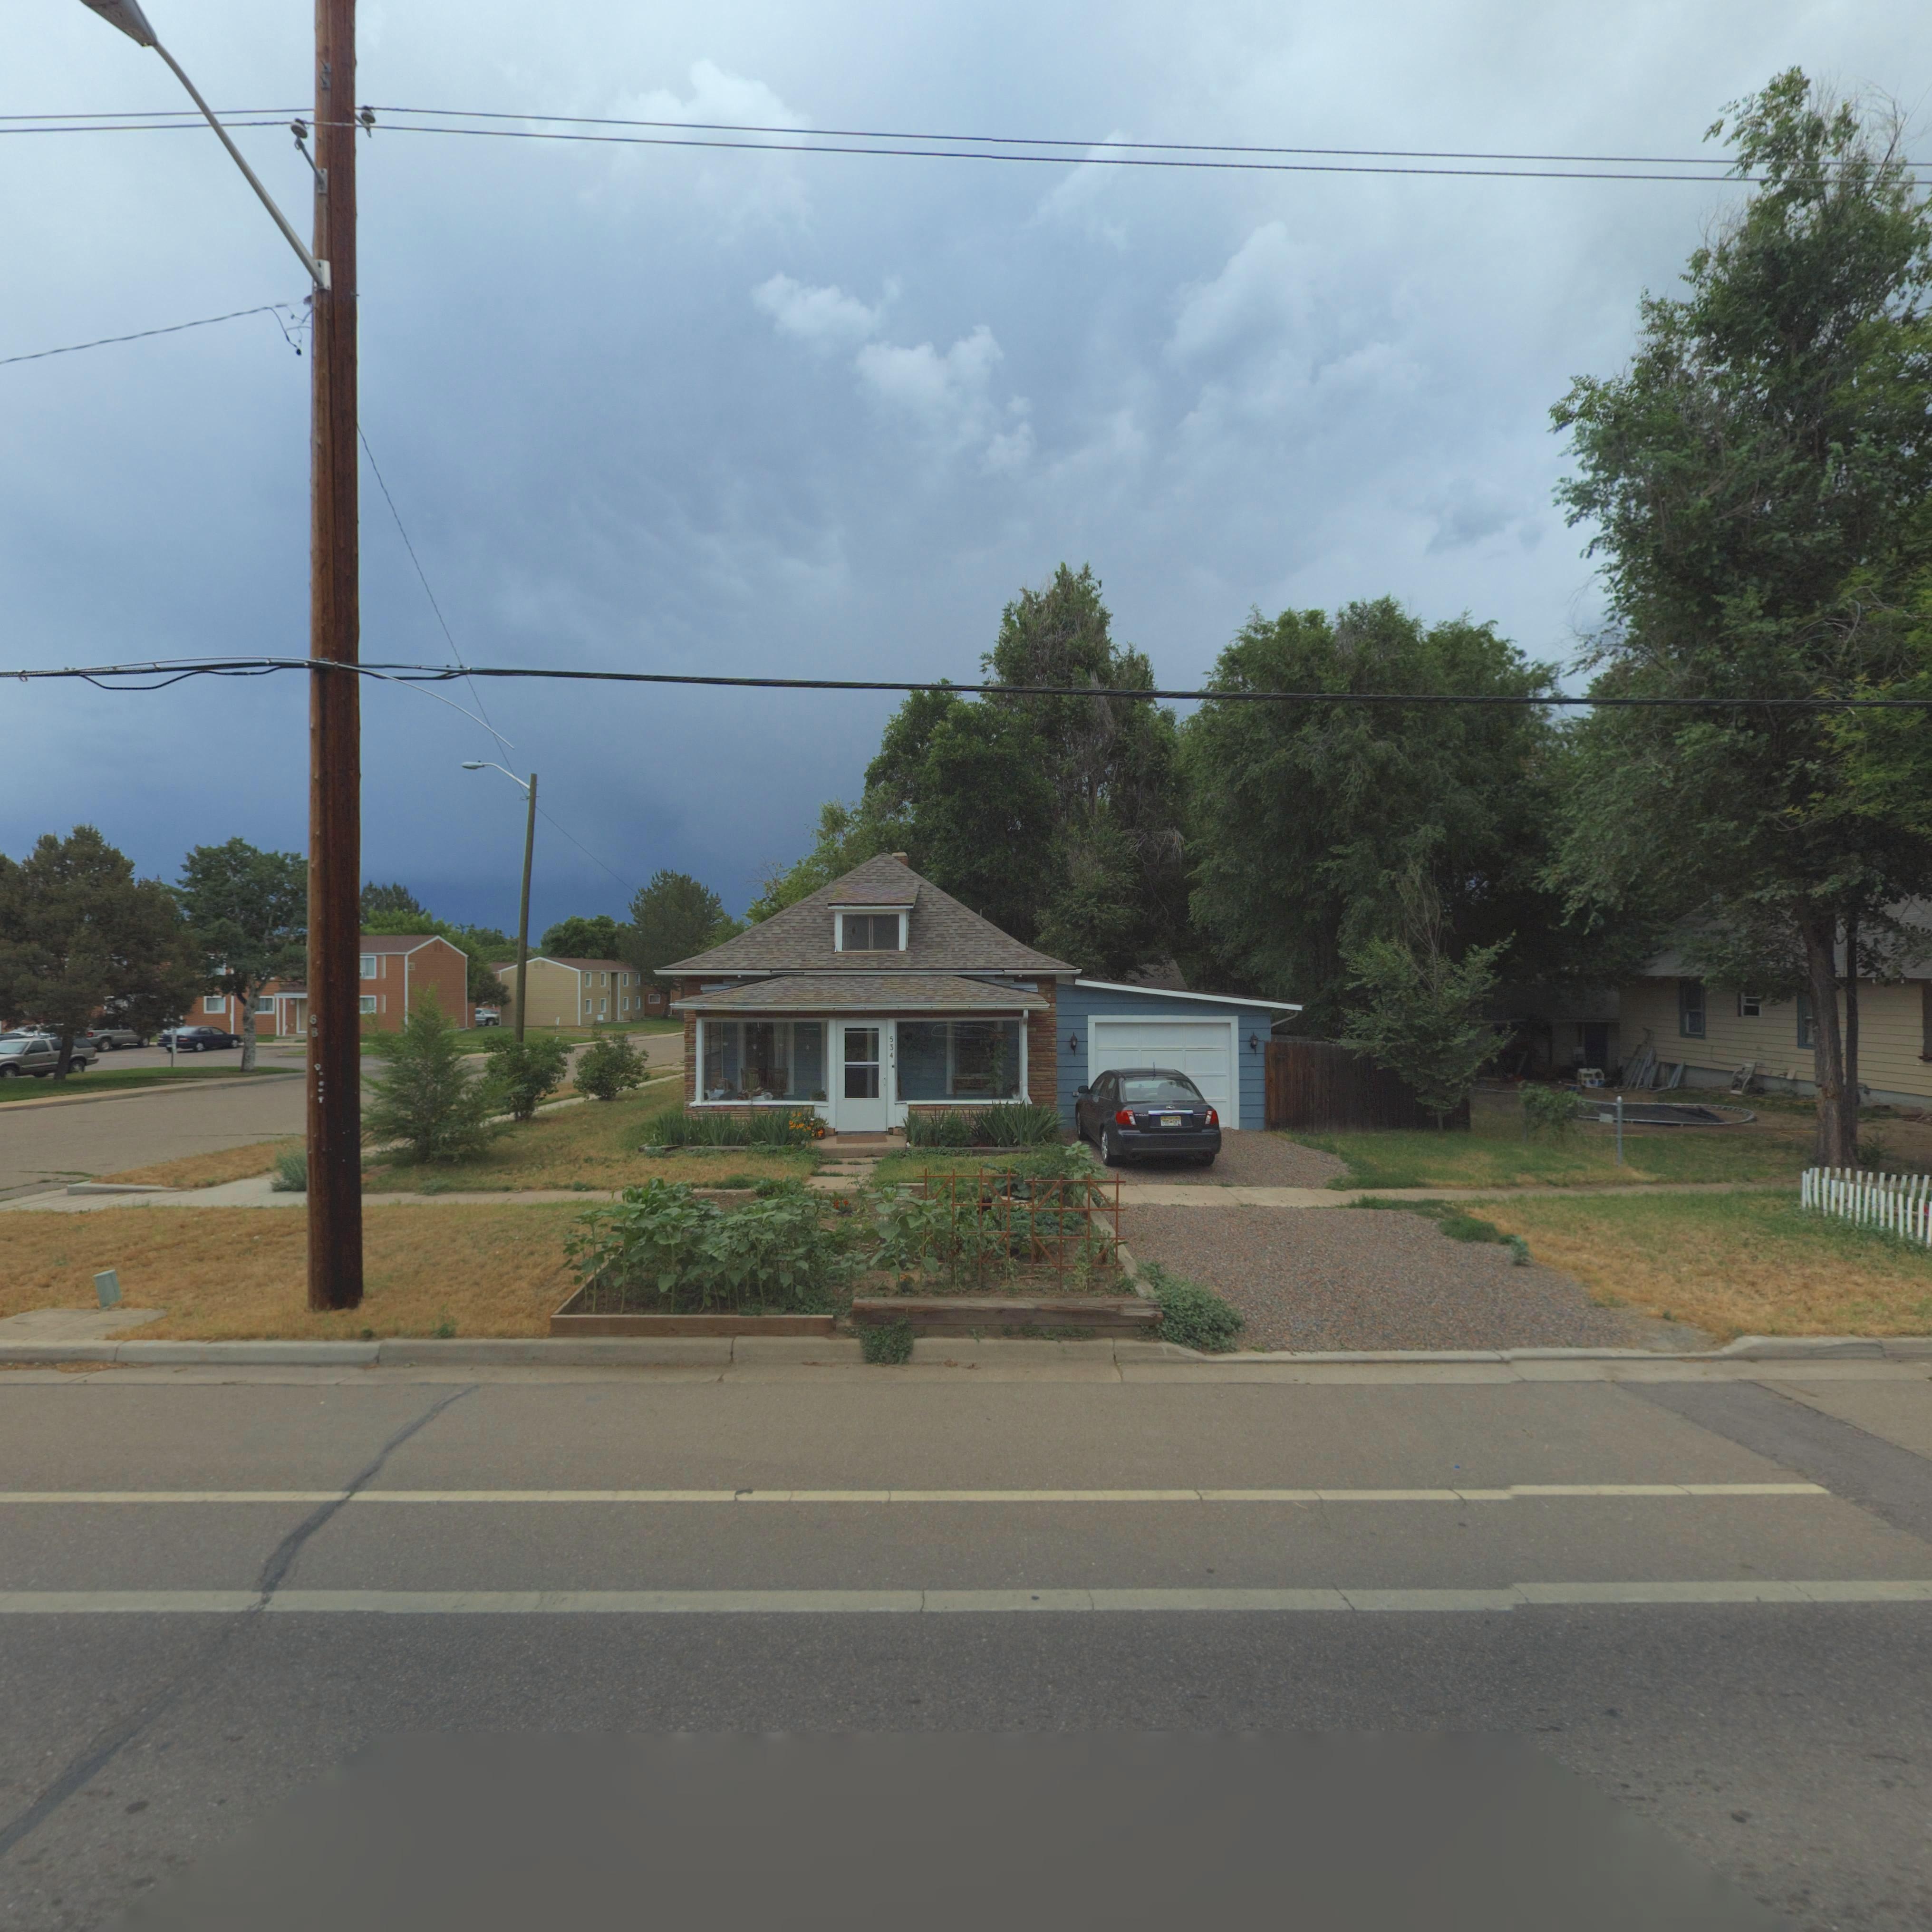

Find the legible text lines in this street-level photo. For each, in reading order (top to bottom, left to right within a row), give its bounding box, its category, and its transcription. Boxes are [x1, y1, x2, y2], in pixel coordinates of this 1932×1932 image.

[889, 1035, 894, 1058] StreetNumber: 534